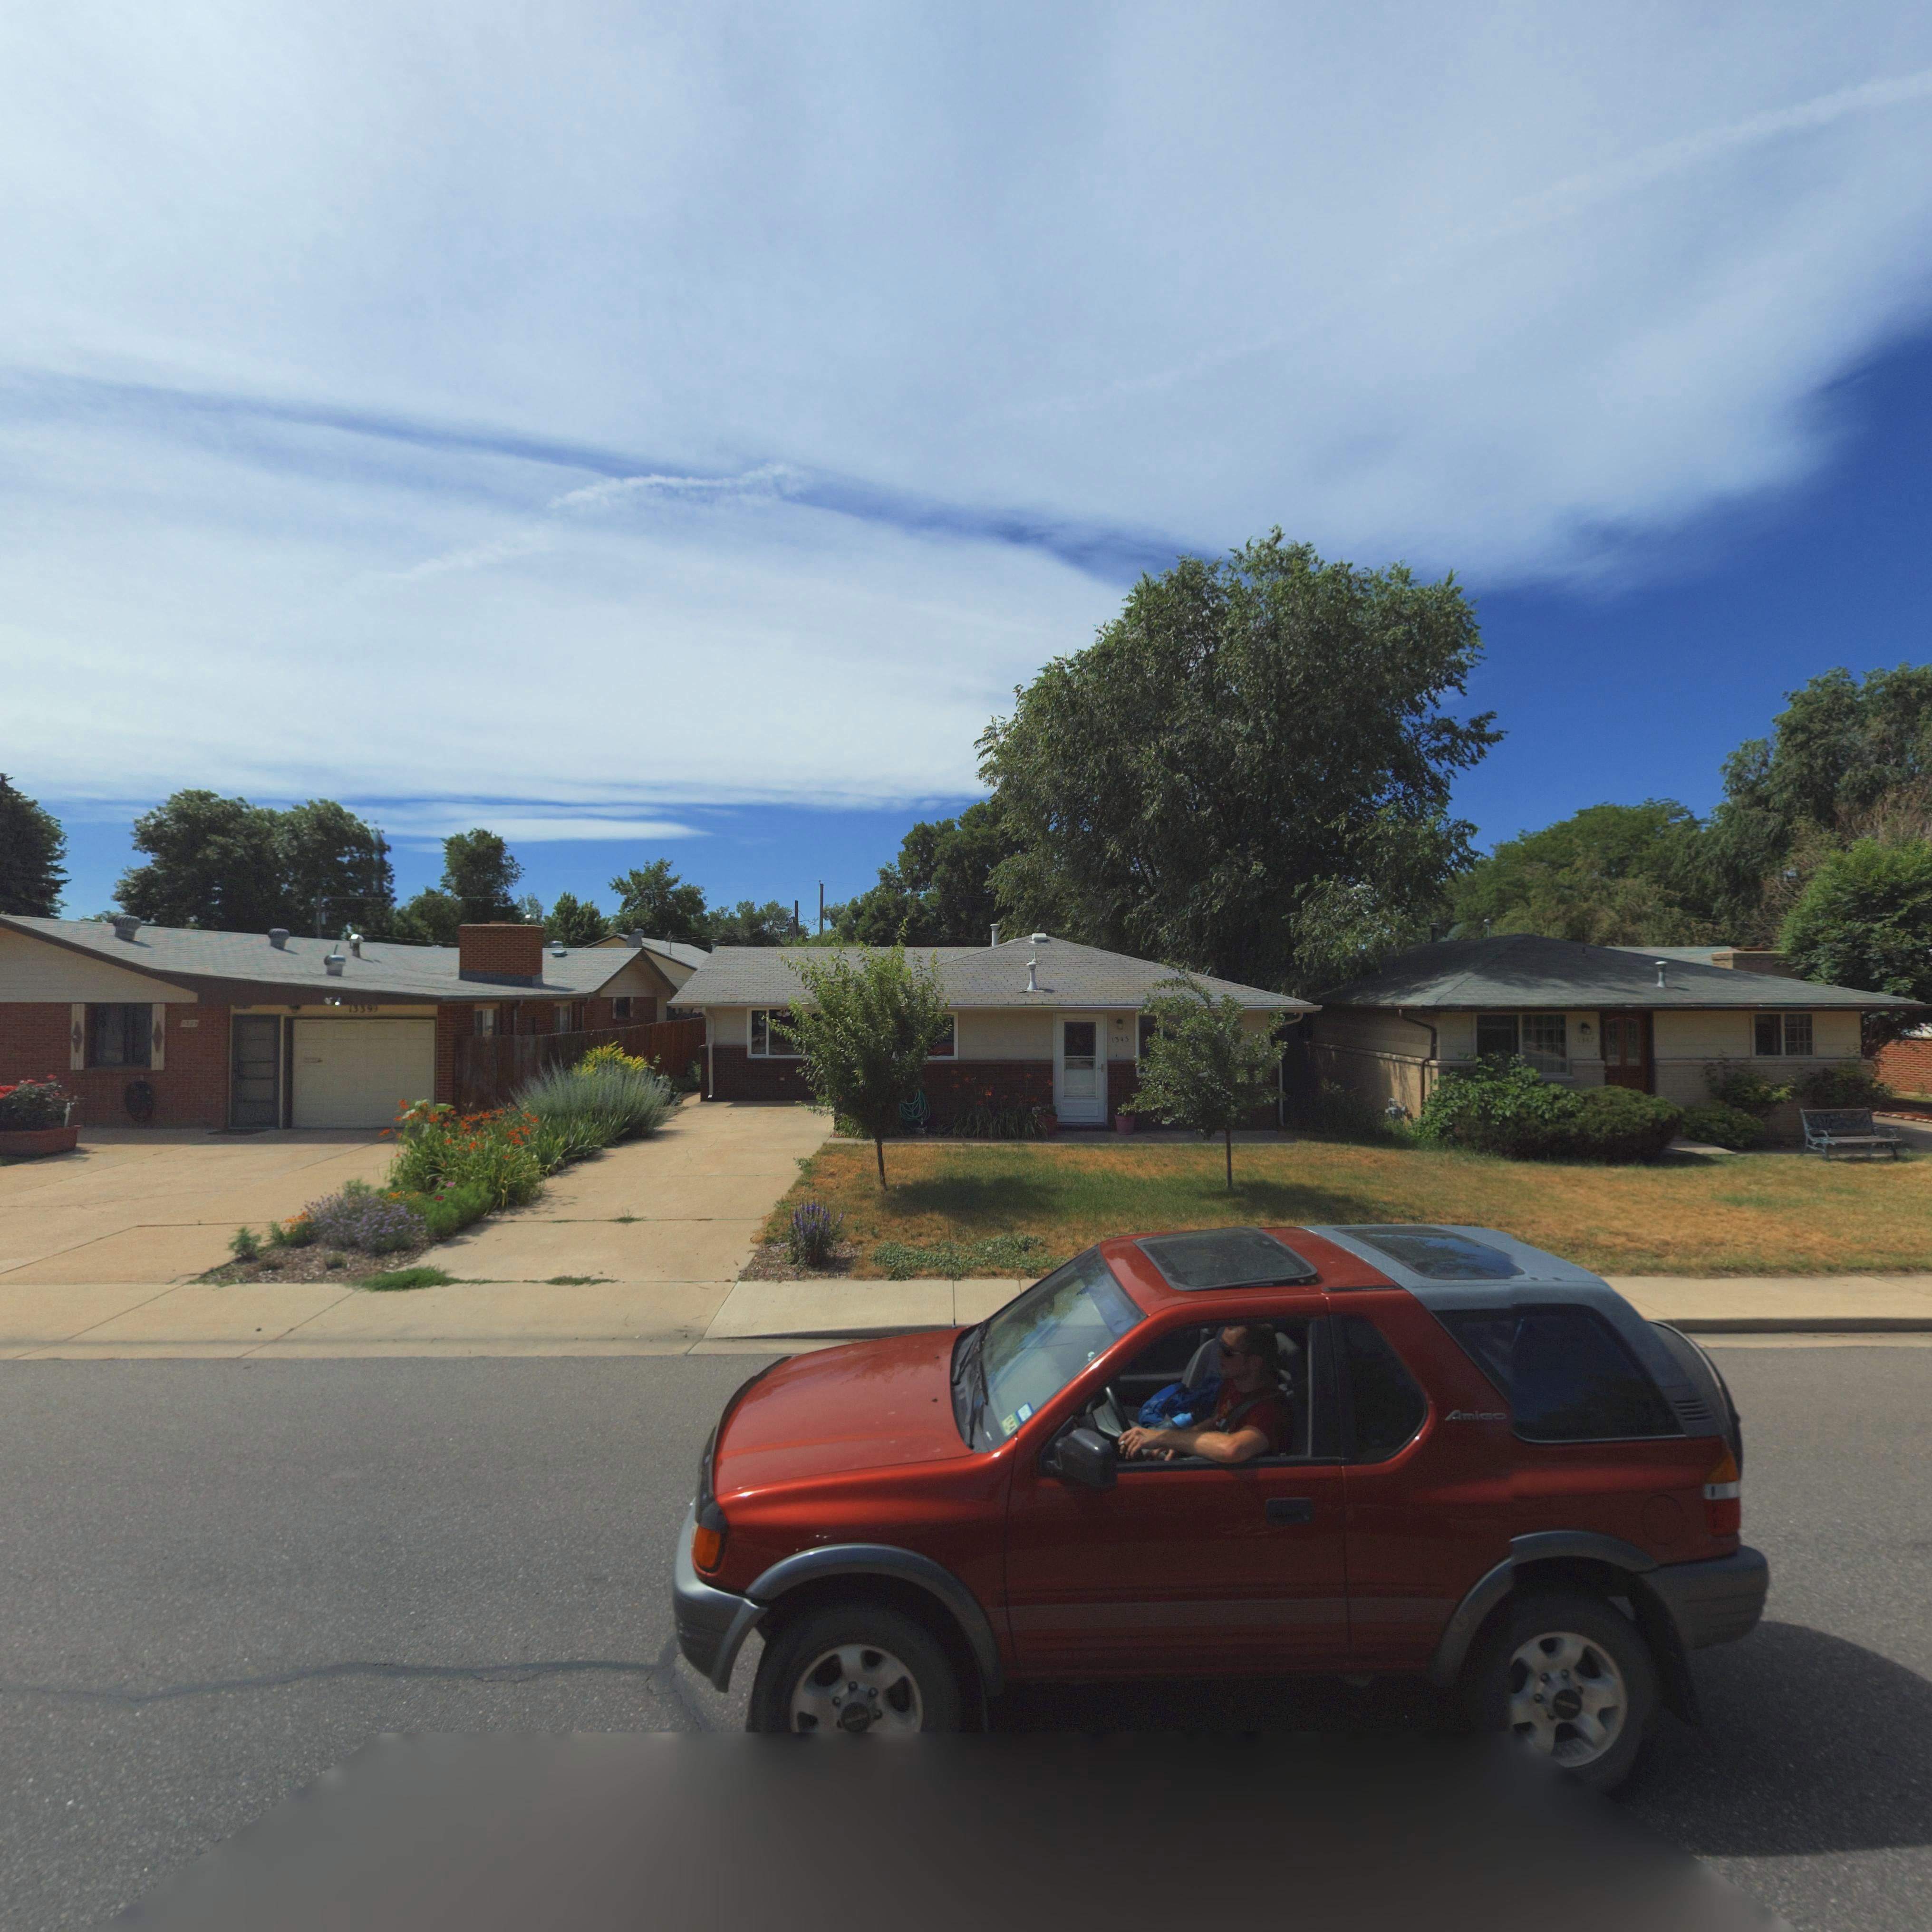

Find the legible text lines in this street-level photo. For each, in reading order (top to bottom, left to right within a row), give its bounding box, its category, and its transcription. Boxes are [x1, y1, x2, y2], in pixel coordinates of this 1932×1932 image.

[348, 1004, 379, 1013] StreetNumber: 13399
[181, 1020, 198, 1026] StreetNumber: *3**
[1111, 1035, 1129, 1043] StreetNumber: 1343
[1577, 1036, 1594, 1043] StreetNumber: 1****